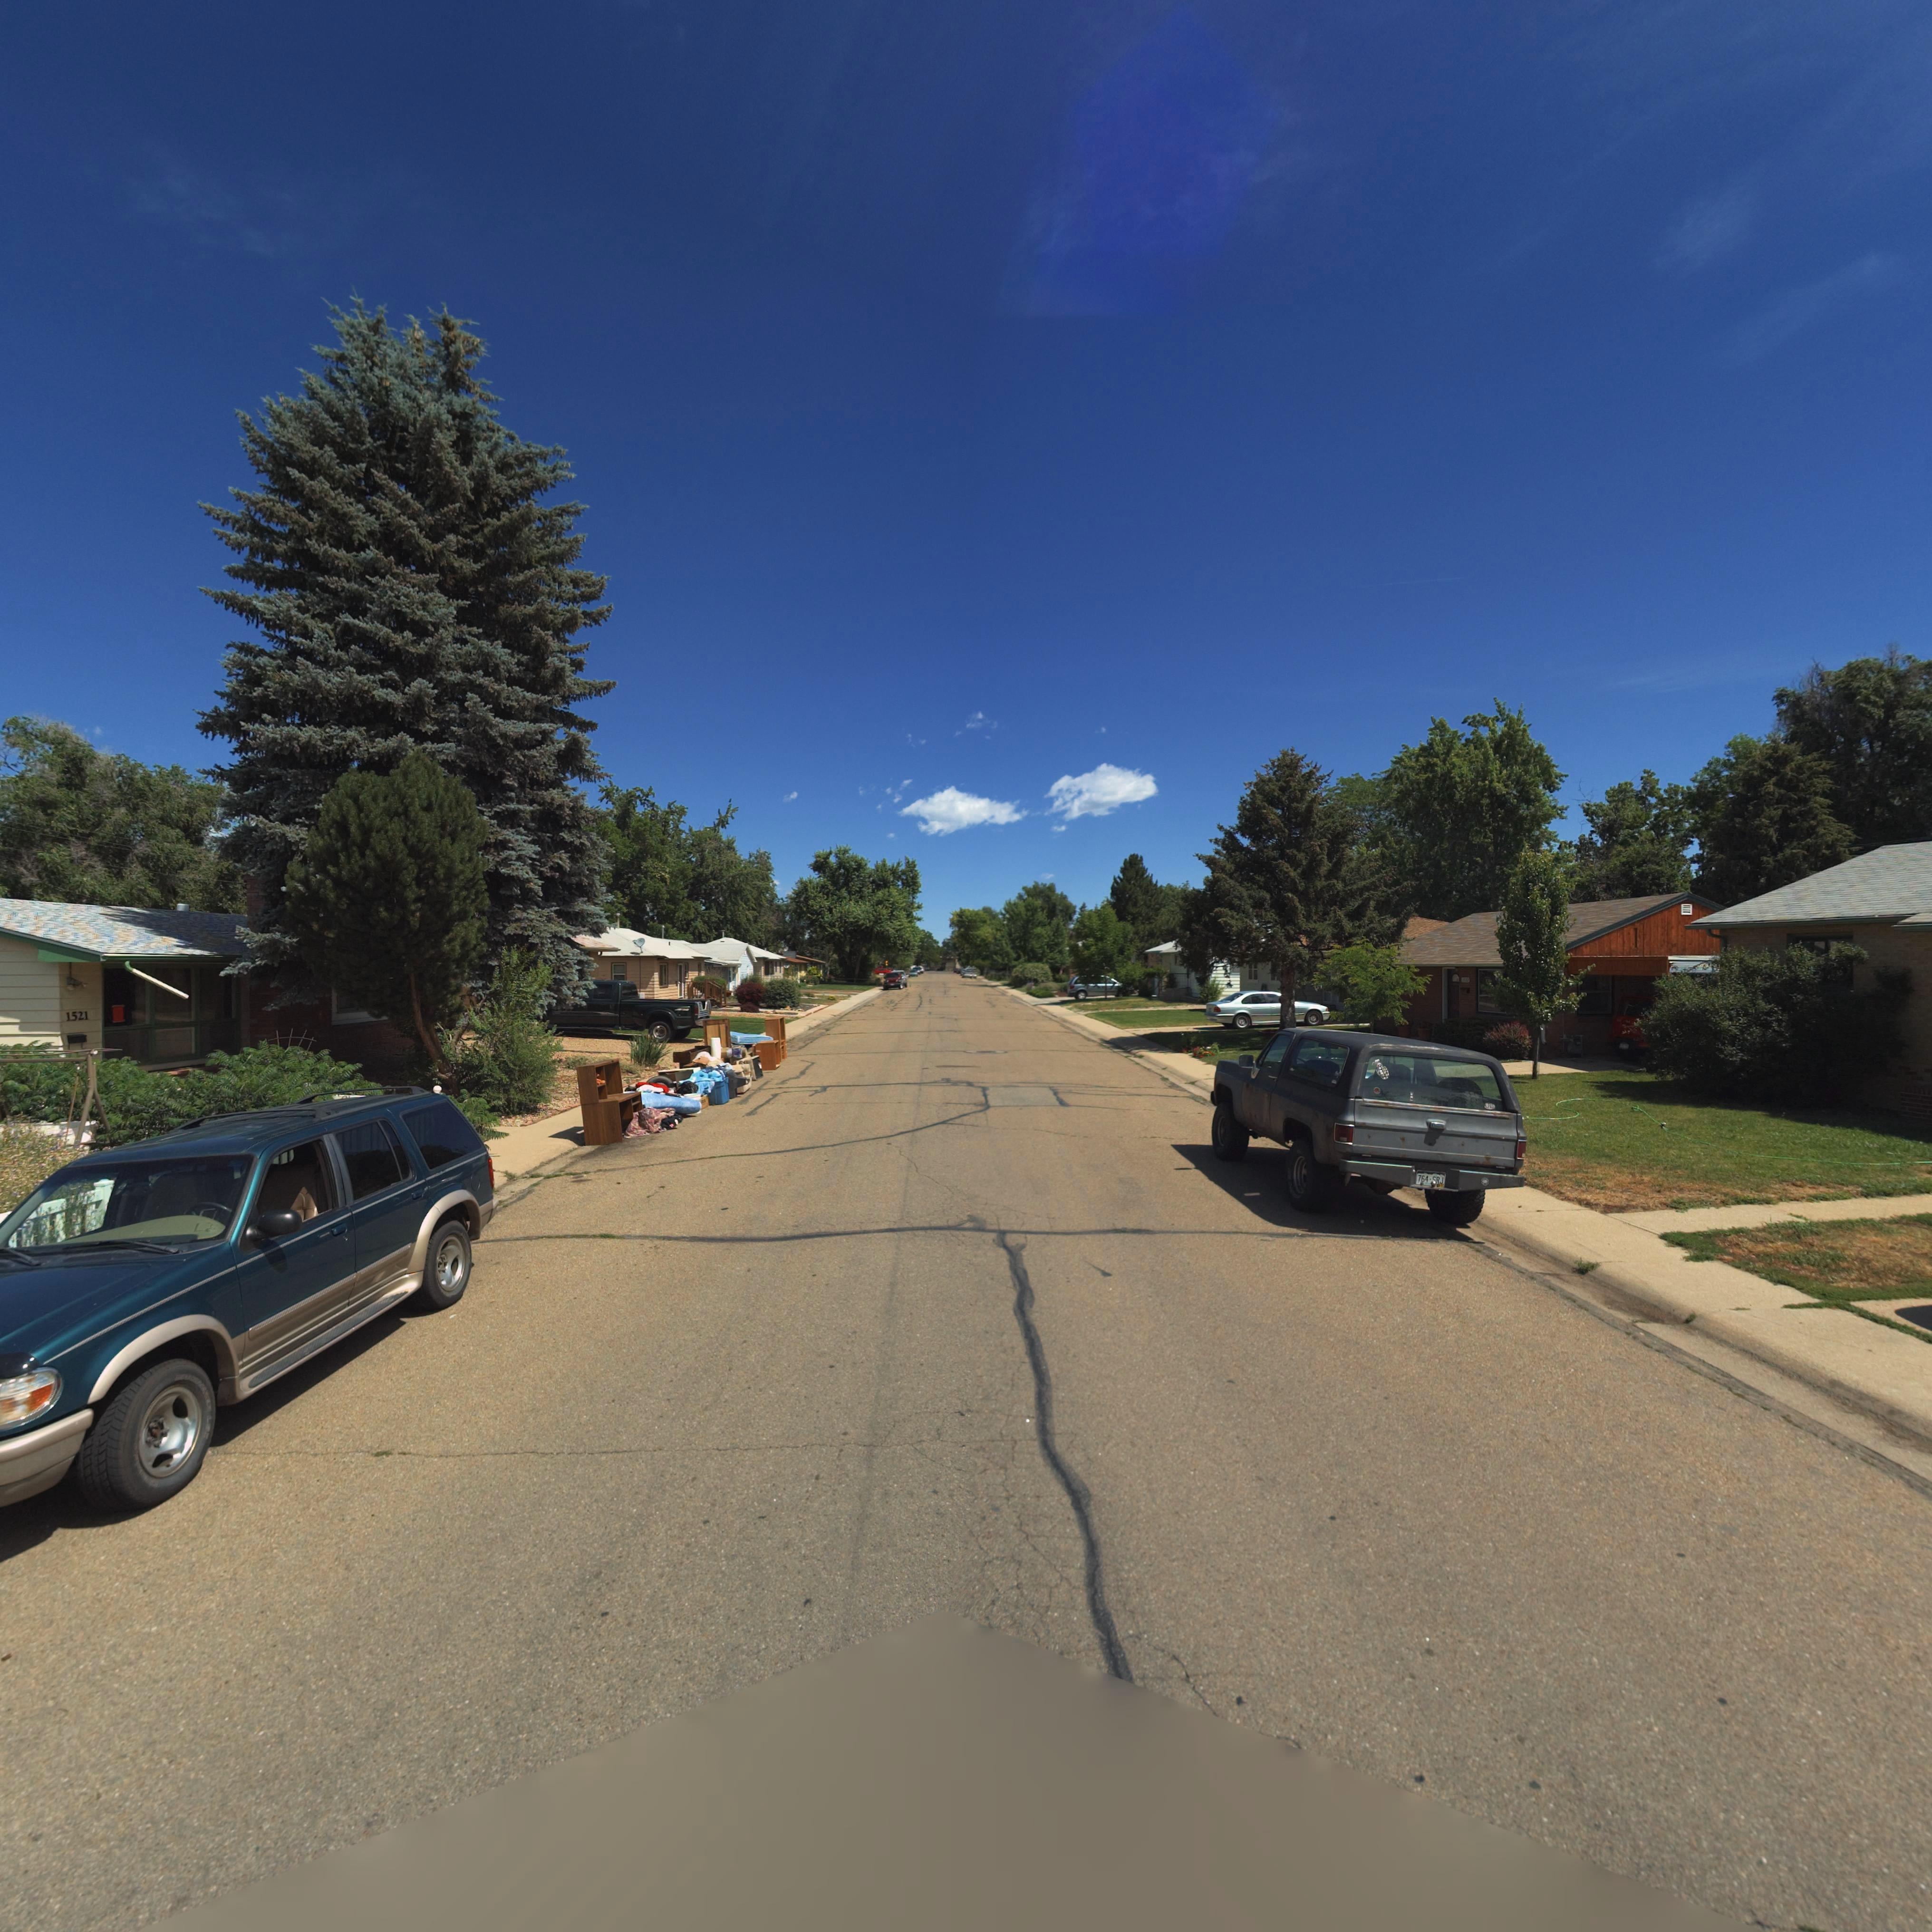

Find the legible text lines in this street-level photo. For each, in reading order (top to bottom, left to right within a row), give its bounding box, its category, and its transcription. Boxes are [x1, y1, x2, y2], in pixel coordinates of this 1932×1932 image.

[1461, 977, 1469, 983] StreetNumber: **2*
[64, 1010, 89, 1022] StreetNumber: 1521